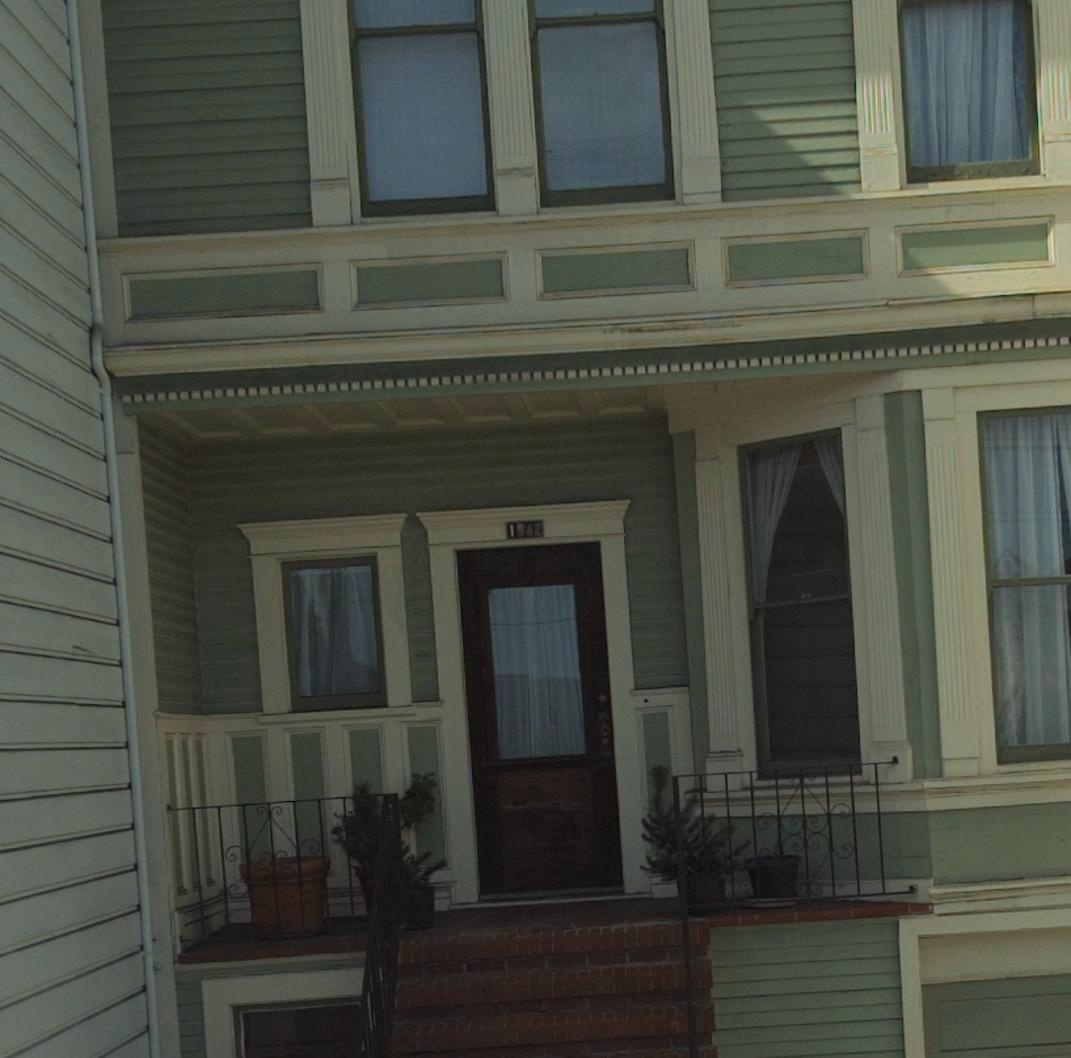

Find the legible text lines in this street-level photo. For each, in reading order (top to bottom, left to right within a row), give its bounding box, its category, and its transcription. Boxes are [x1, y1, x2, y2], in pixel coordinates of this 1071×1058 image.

[507, 520, 544, 540] StreetNumber: 1*42